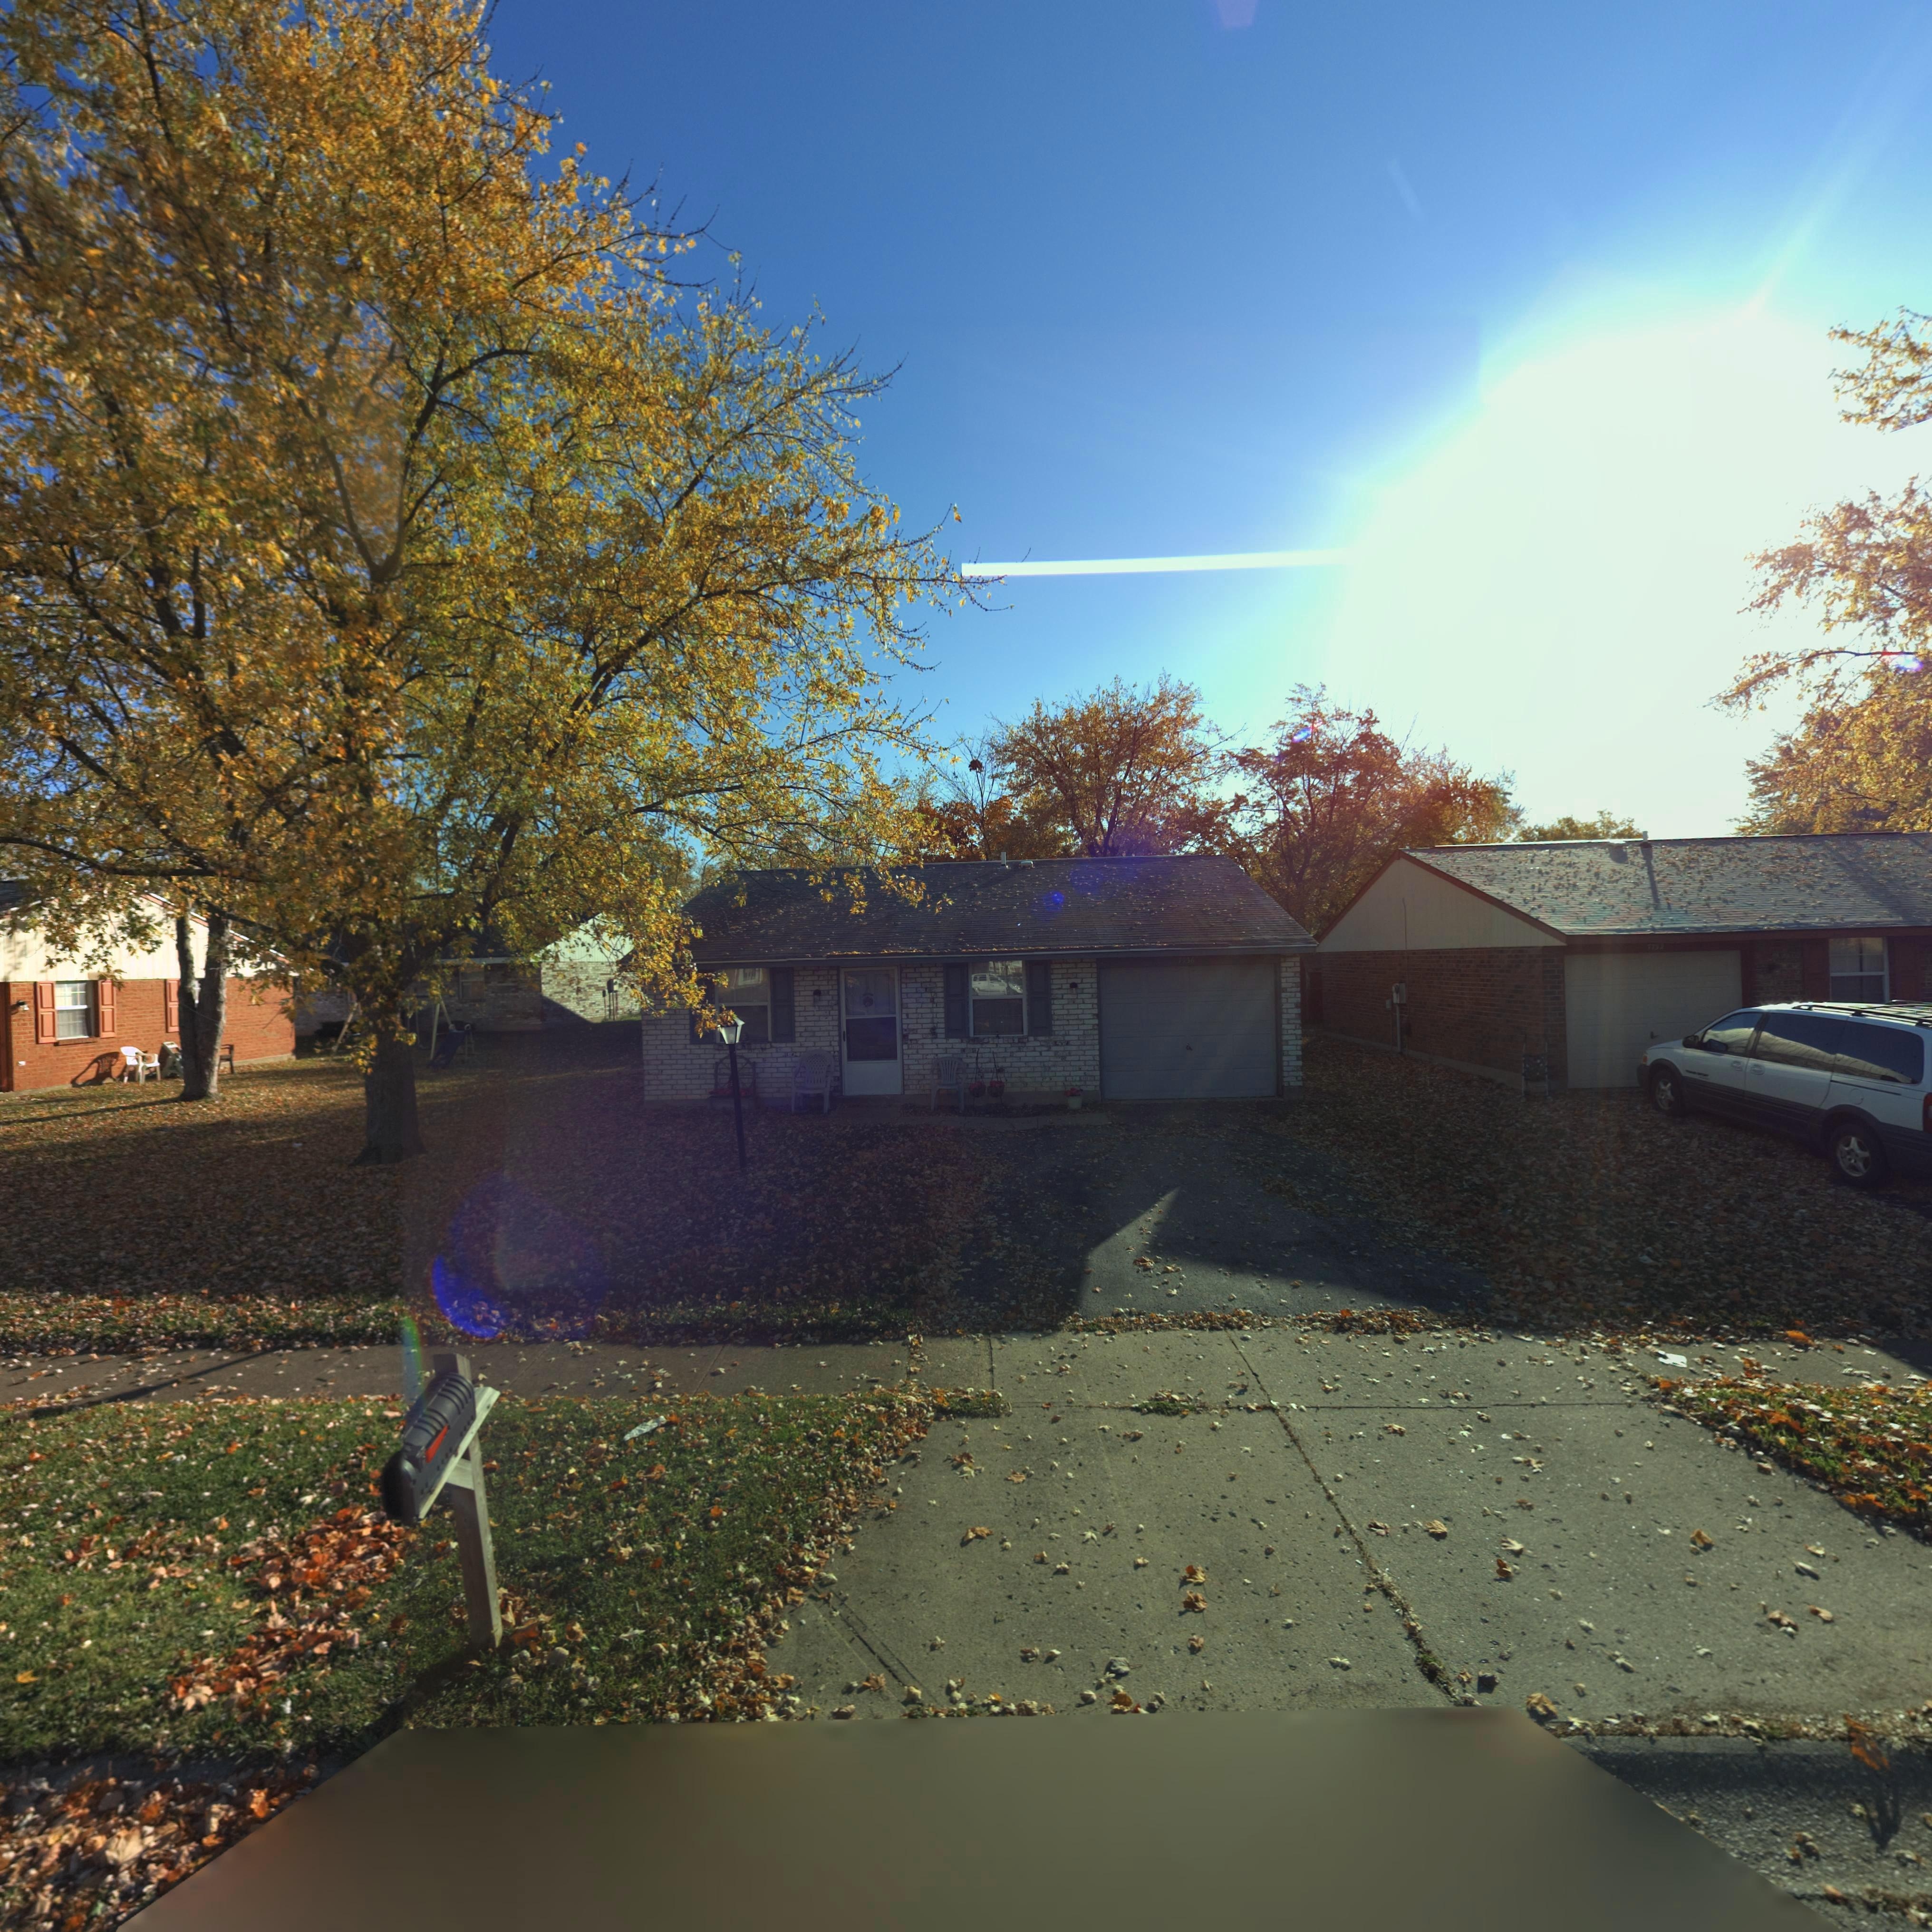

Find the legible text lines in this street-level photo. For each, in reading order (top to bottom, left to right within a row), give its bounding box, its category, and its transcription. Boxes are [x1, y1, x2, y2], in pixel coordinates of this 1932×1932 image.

[1644, 942, 1666, 953] StreetNumber: *7**
[1176, 956, 1196, 966] StreetNumber: 77*6